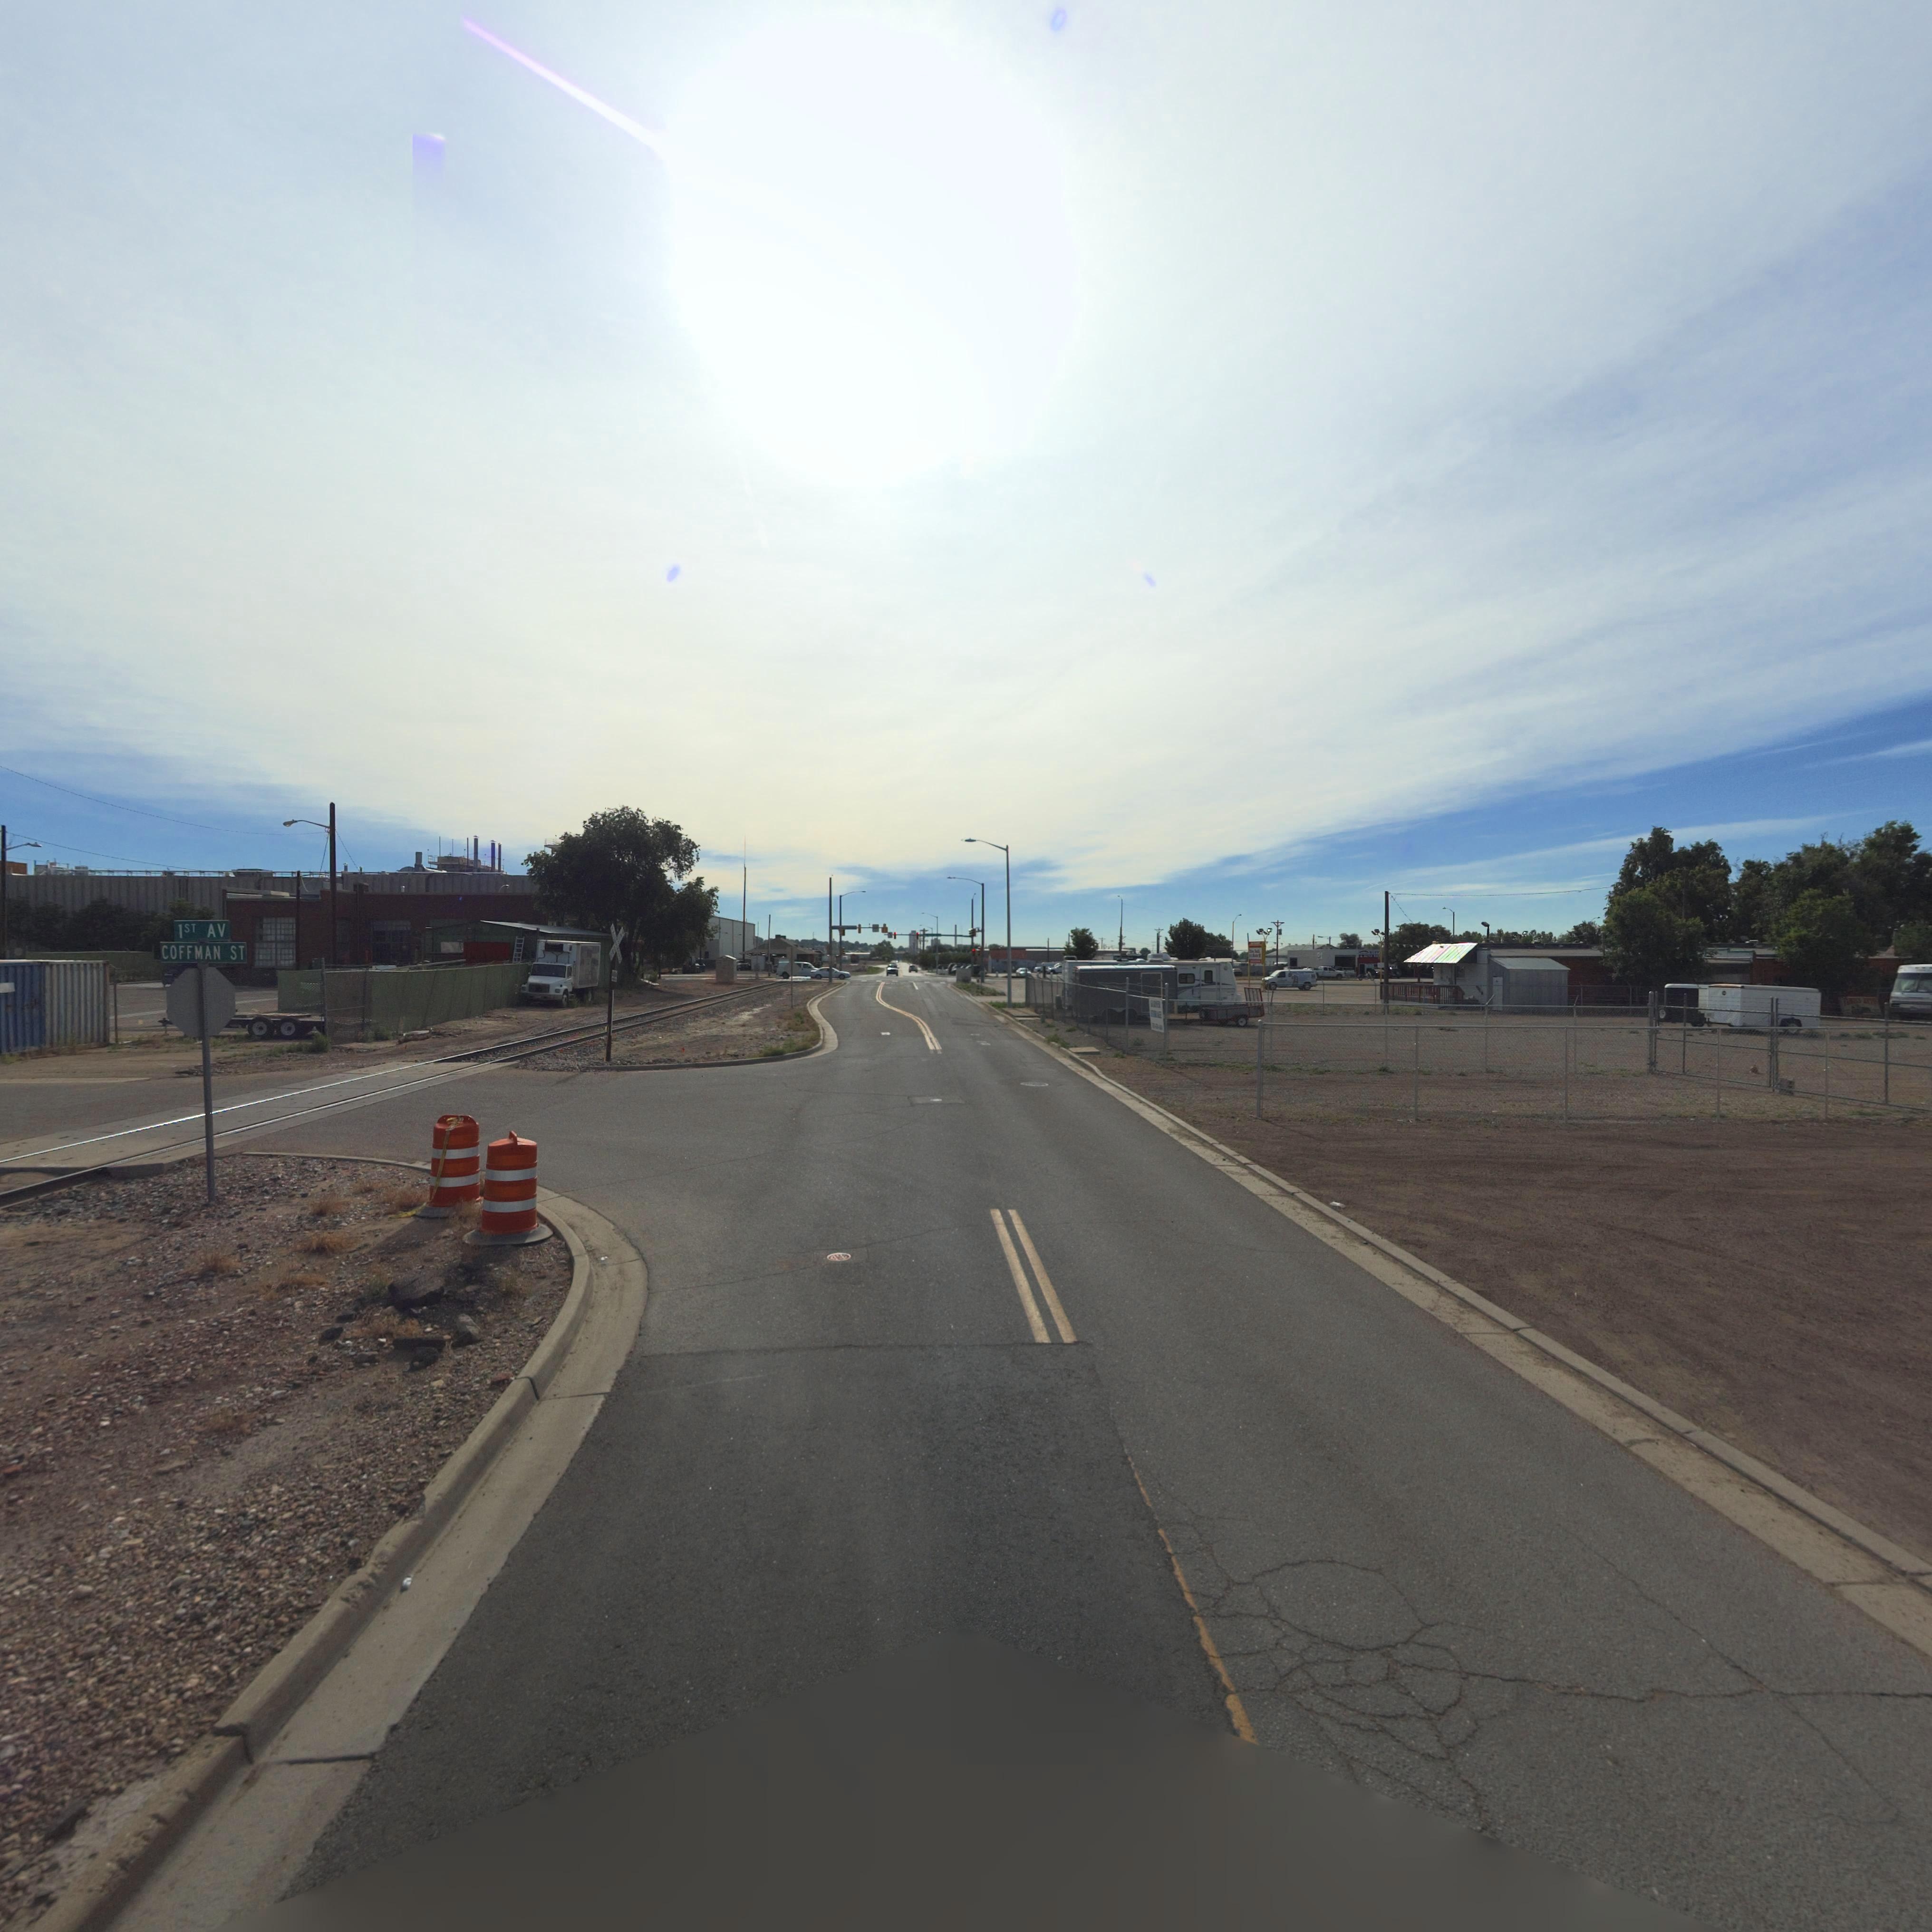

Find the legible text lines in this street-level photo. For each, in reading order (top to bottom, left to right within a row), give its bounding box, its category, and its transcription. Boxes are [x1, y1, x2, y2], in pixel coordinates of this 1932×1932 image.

[177, 923, 226, 938] StreetName: 1ST AV
[161, 945, 245, 960] StreetName: COFFMAN ST